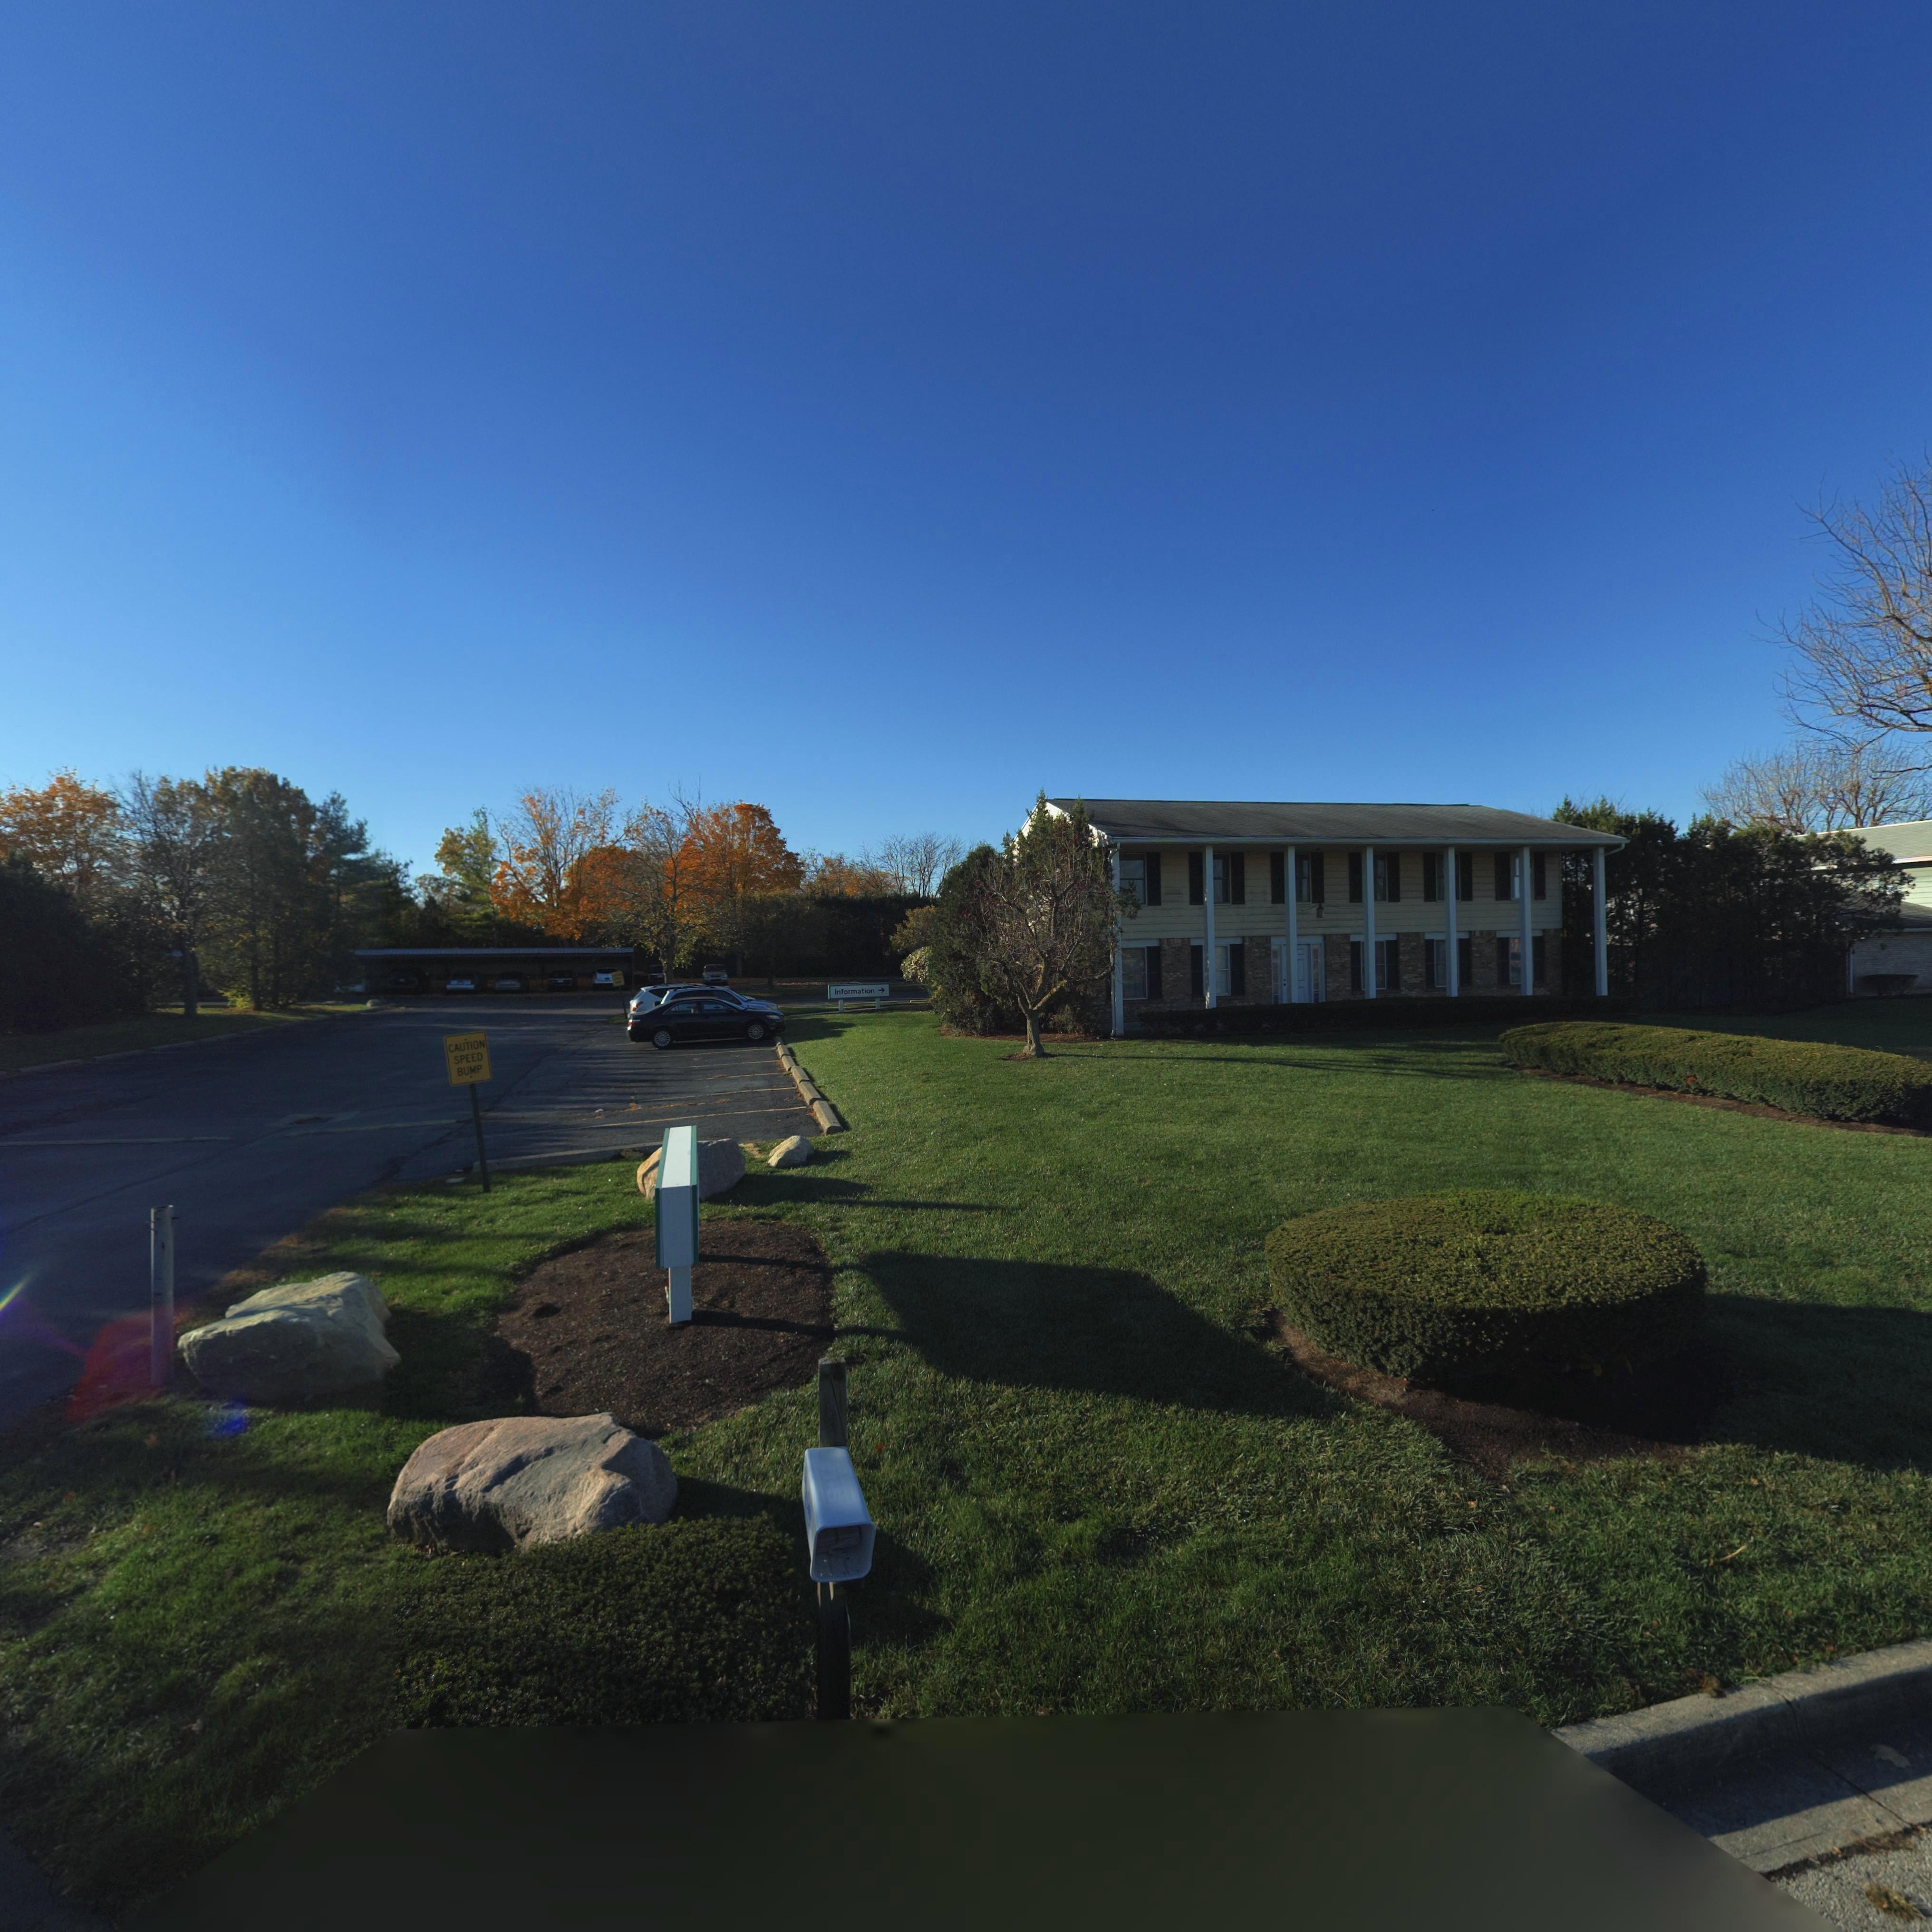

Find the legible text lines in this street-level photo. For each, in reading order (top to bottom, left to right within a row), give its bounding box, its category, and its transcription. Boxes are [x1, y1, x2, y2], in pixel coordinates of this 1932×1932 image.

[1328, 955, 1351, 963] StreetNumber: 5550